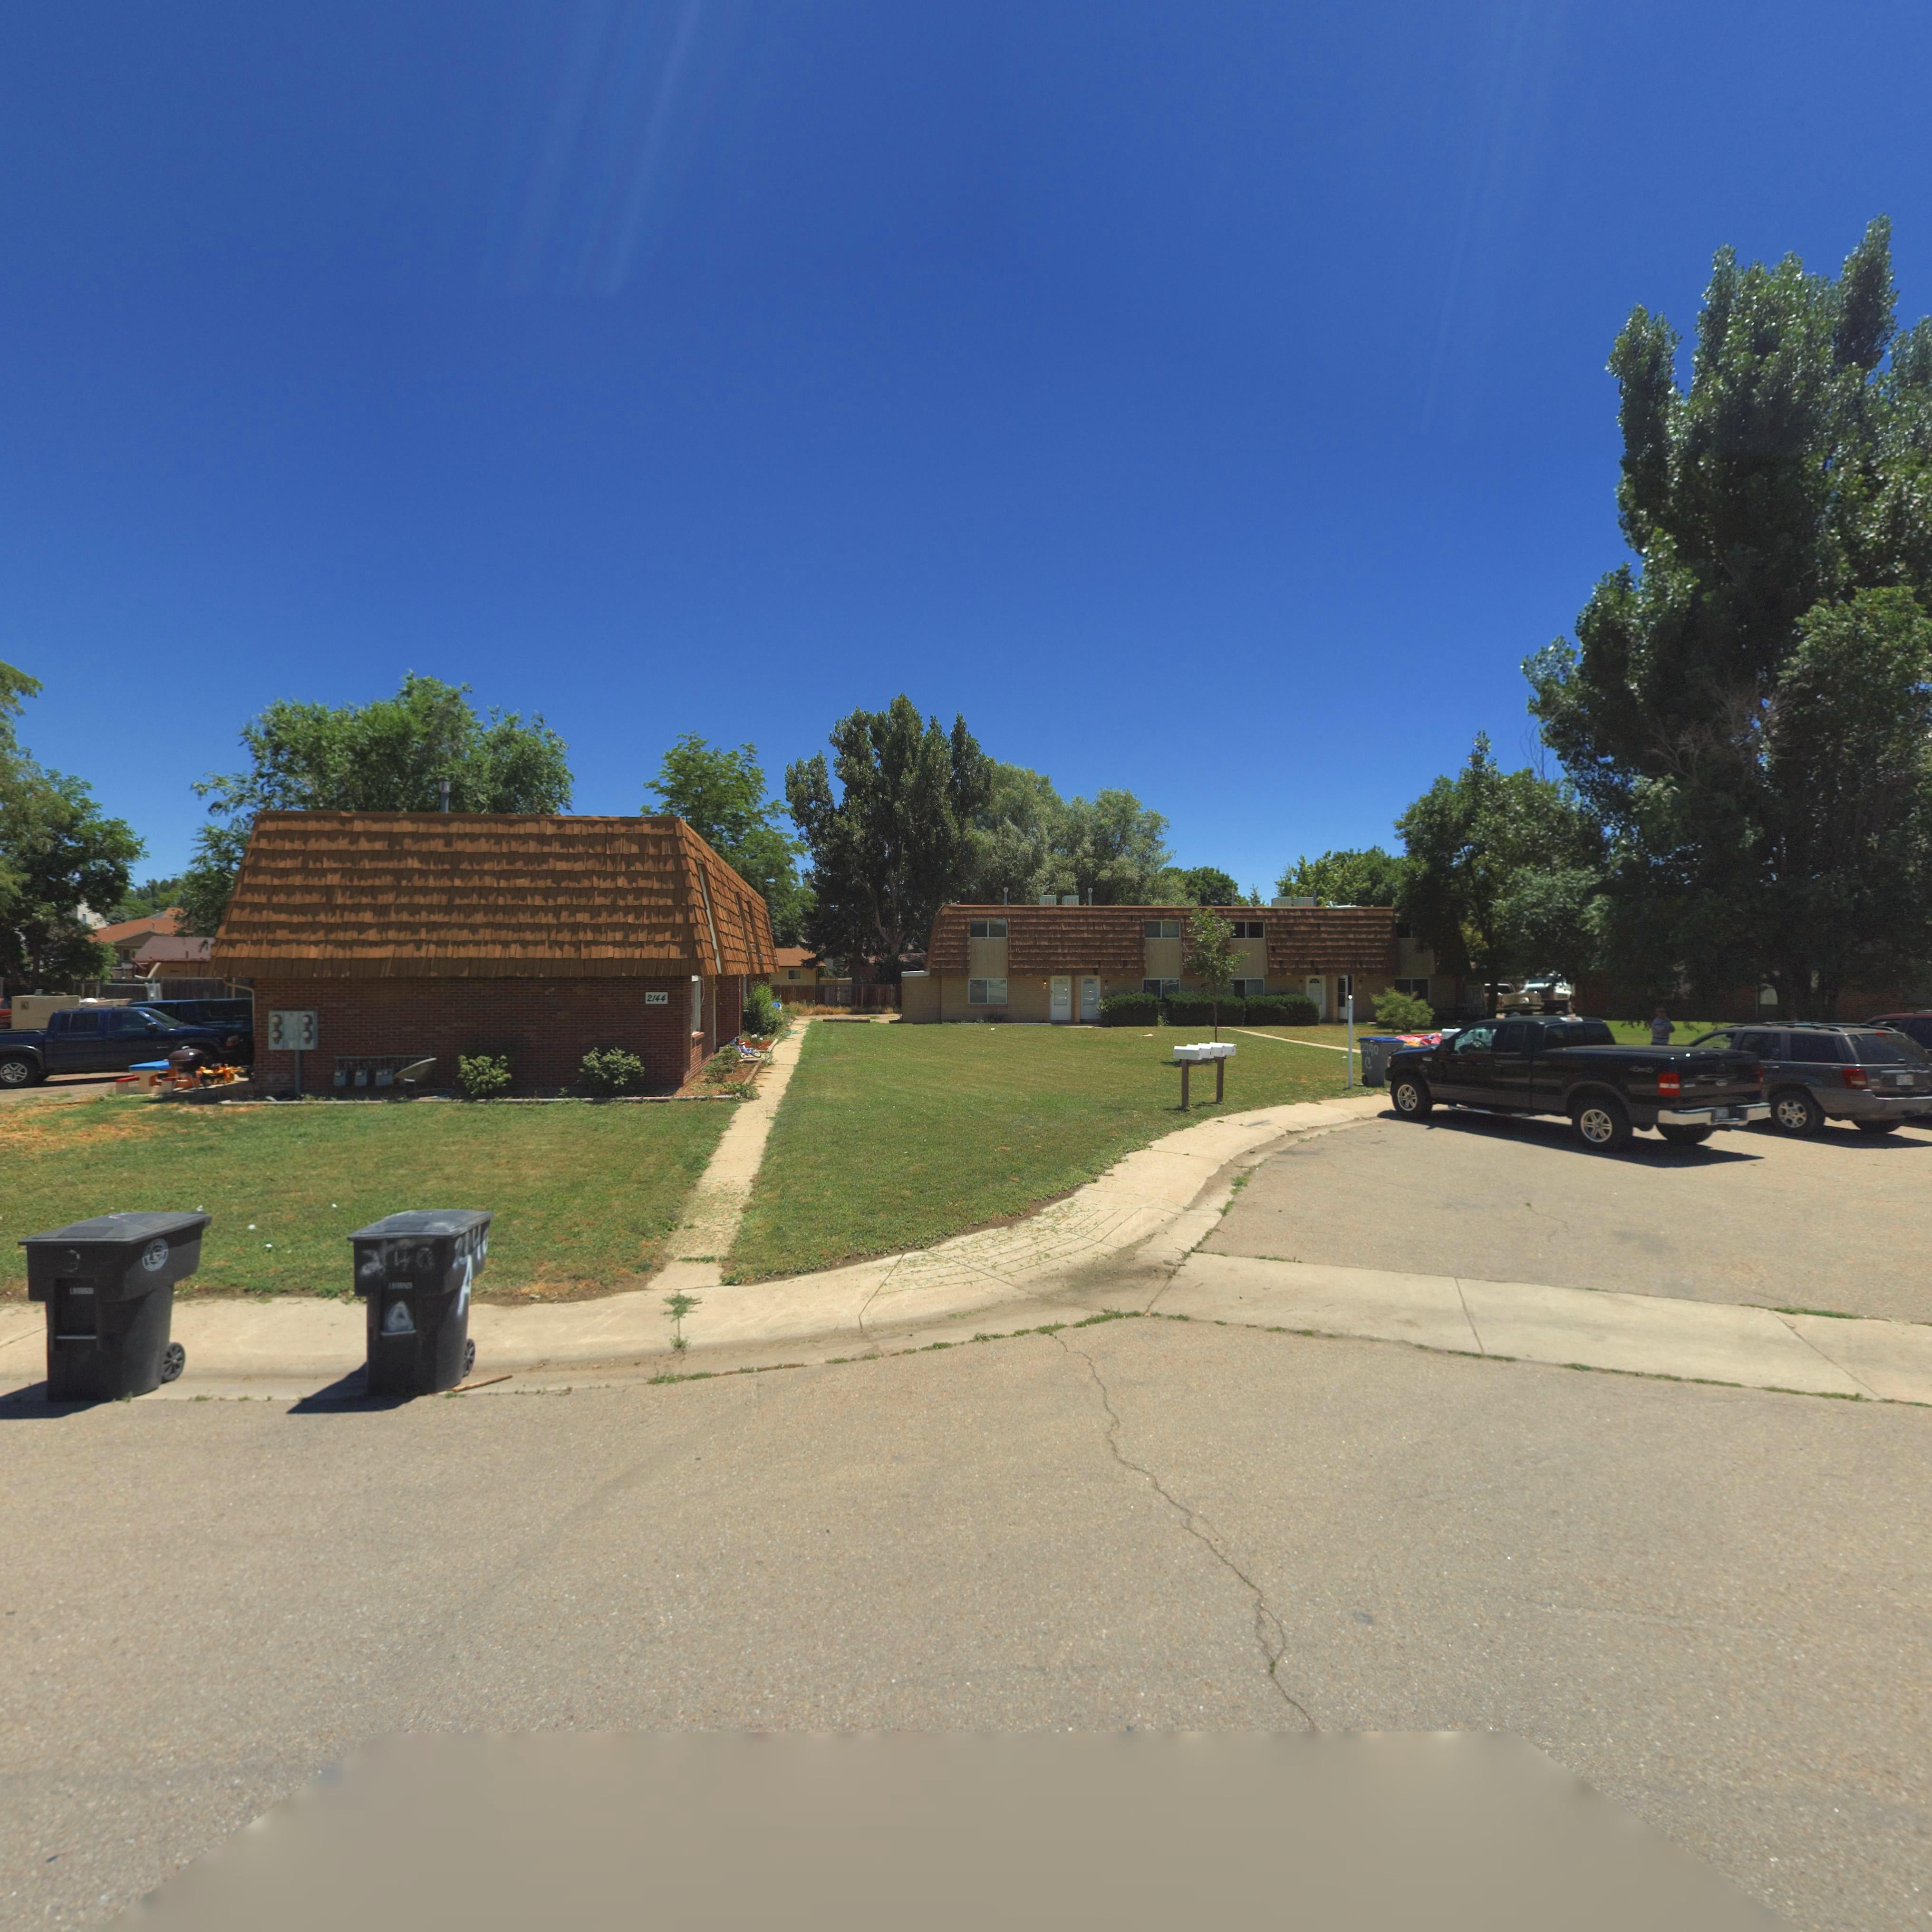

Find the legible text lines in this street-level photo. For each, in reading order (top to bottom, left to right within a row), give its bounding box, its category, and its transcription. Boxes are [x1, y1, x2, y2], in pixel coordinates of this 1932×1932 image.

[647, 994, 666, 1002] StreetNumber: 2144
[1361, 1043, 1378, 1056] StreetNumber: 2140
[453, 1224, 489, 1268] StreetNumber: 2140
[361, 1246, 436, 1275] StreetNumber: 2140